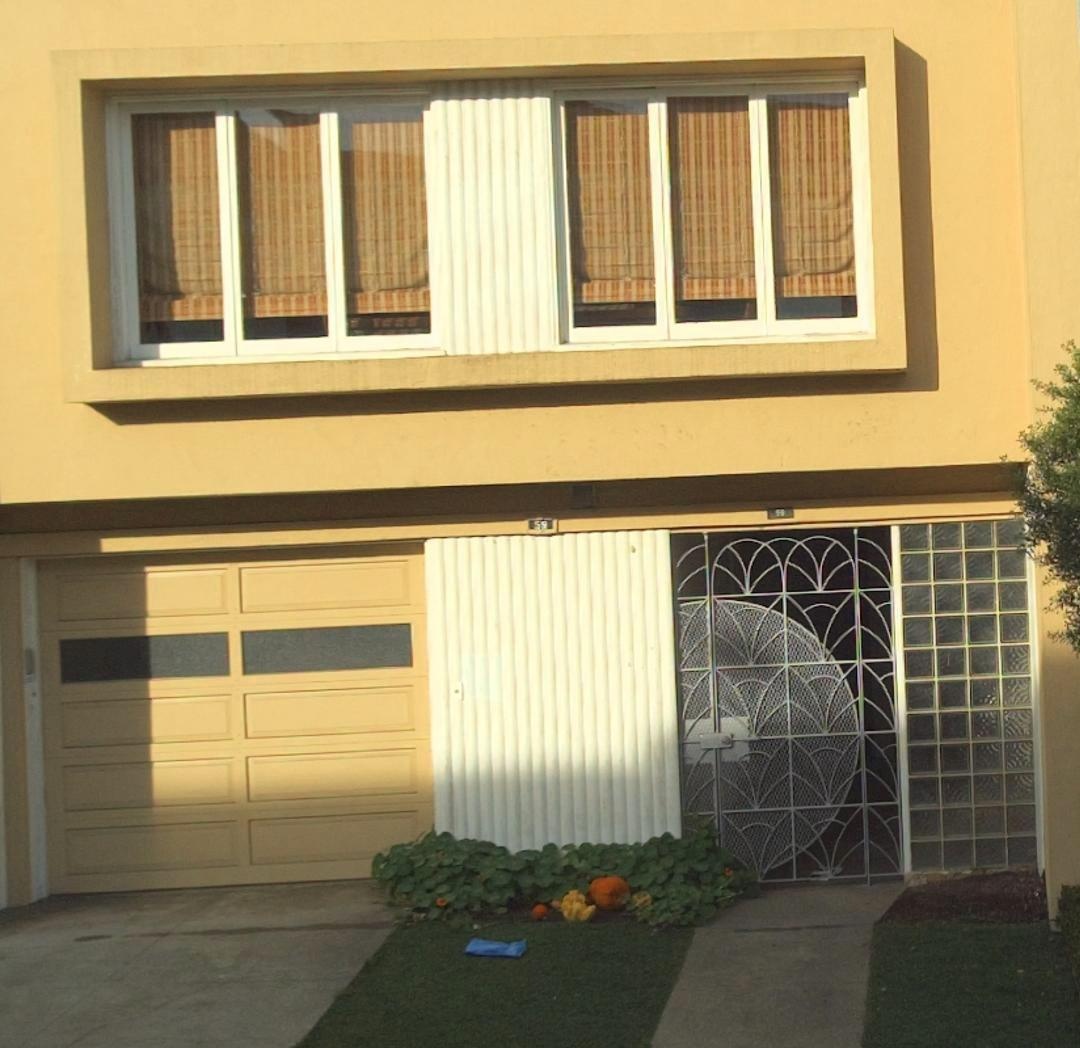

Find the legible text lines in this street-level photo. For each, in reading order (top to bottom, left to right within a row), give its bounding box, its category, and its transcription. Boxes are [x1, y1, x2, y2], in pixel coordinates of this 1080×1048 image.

[532, 518, 549, 531] StreetNumber: 5*